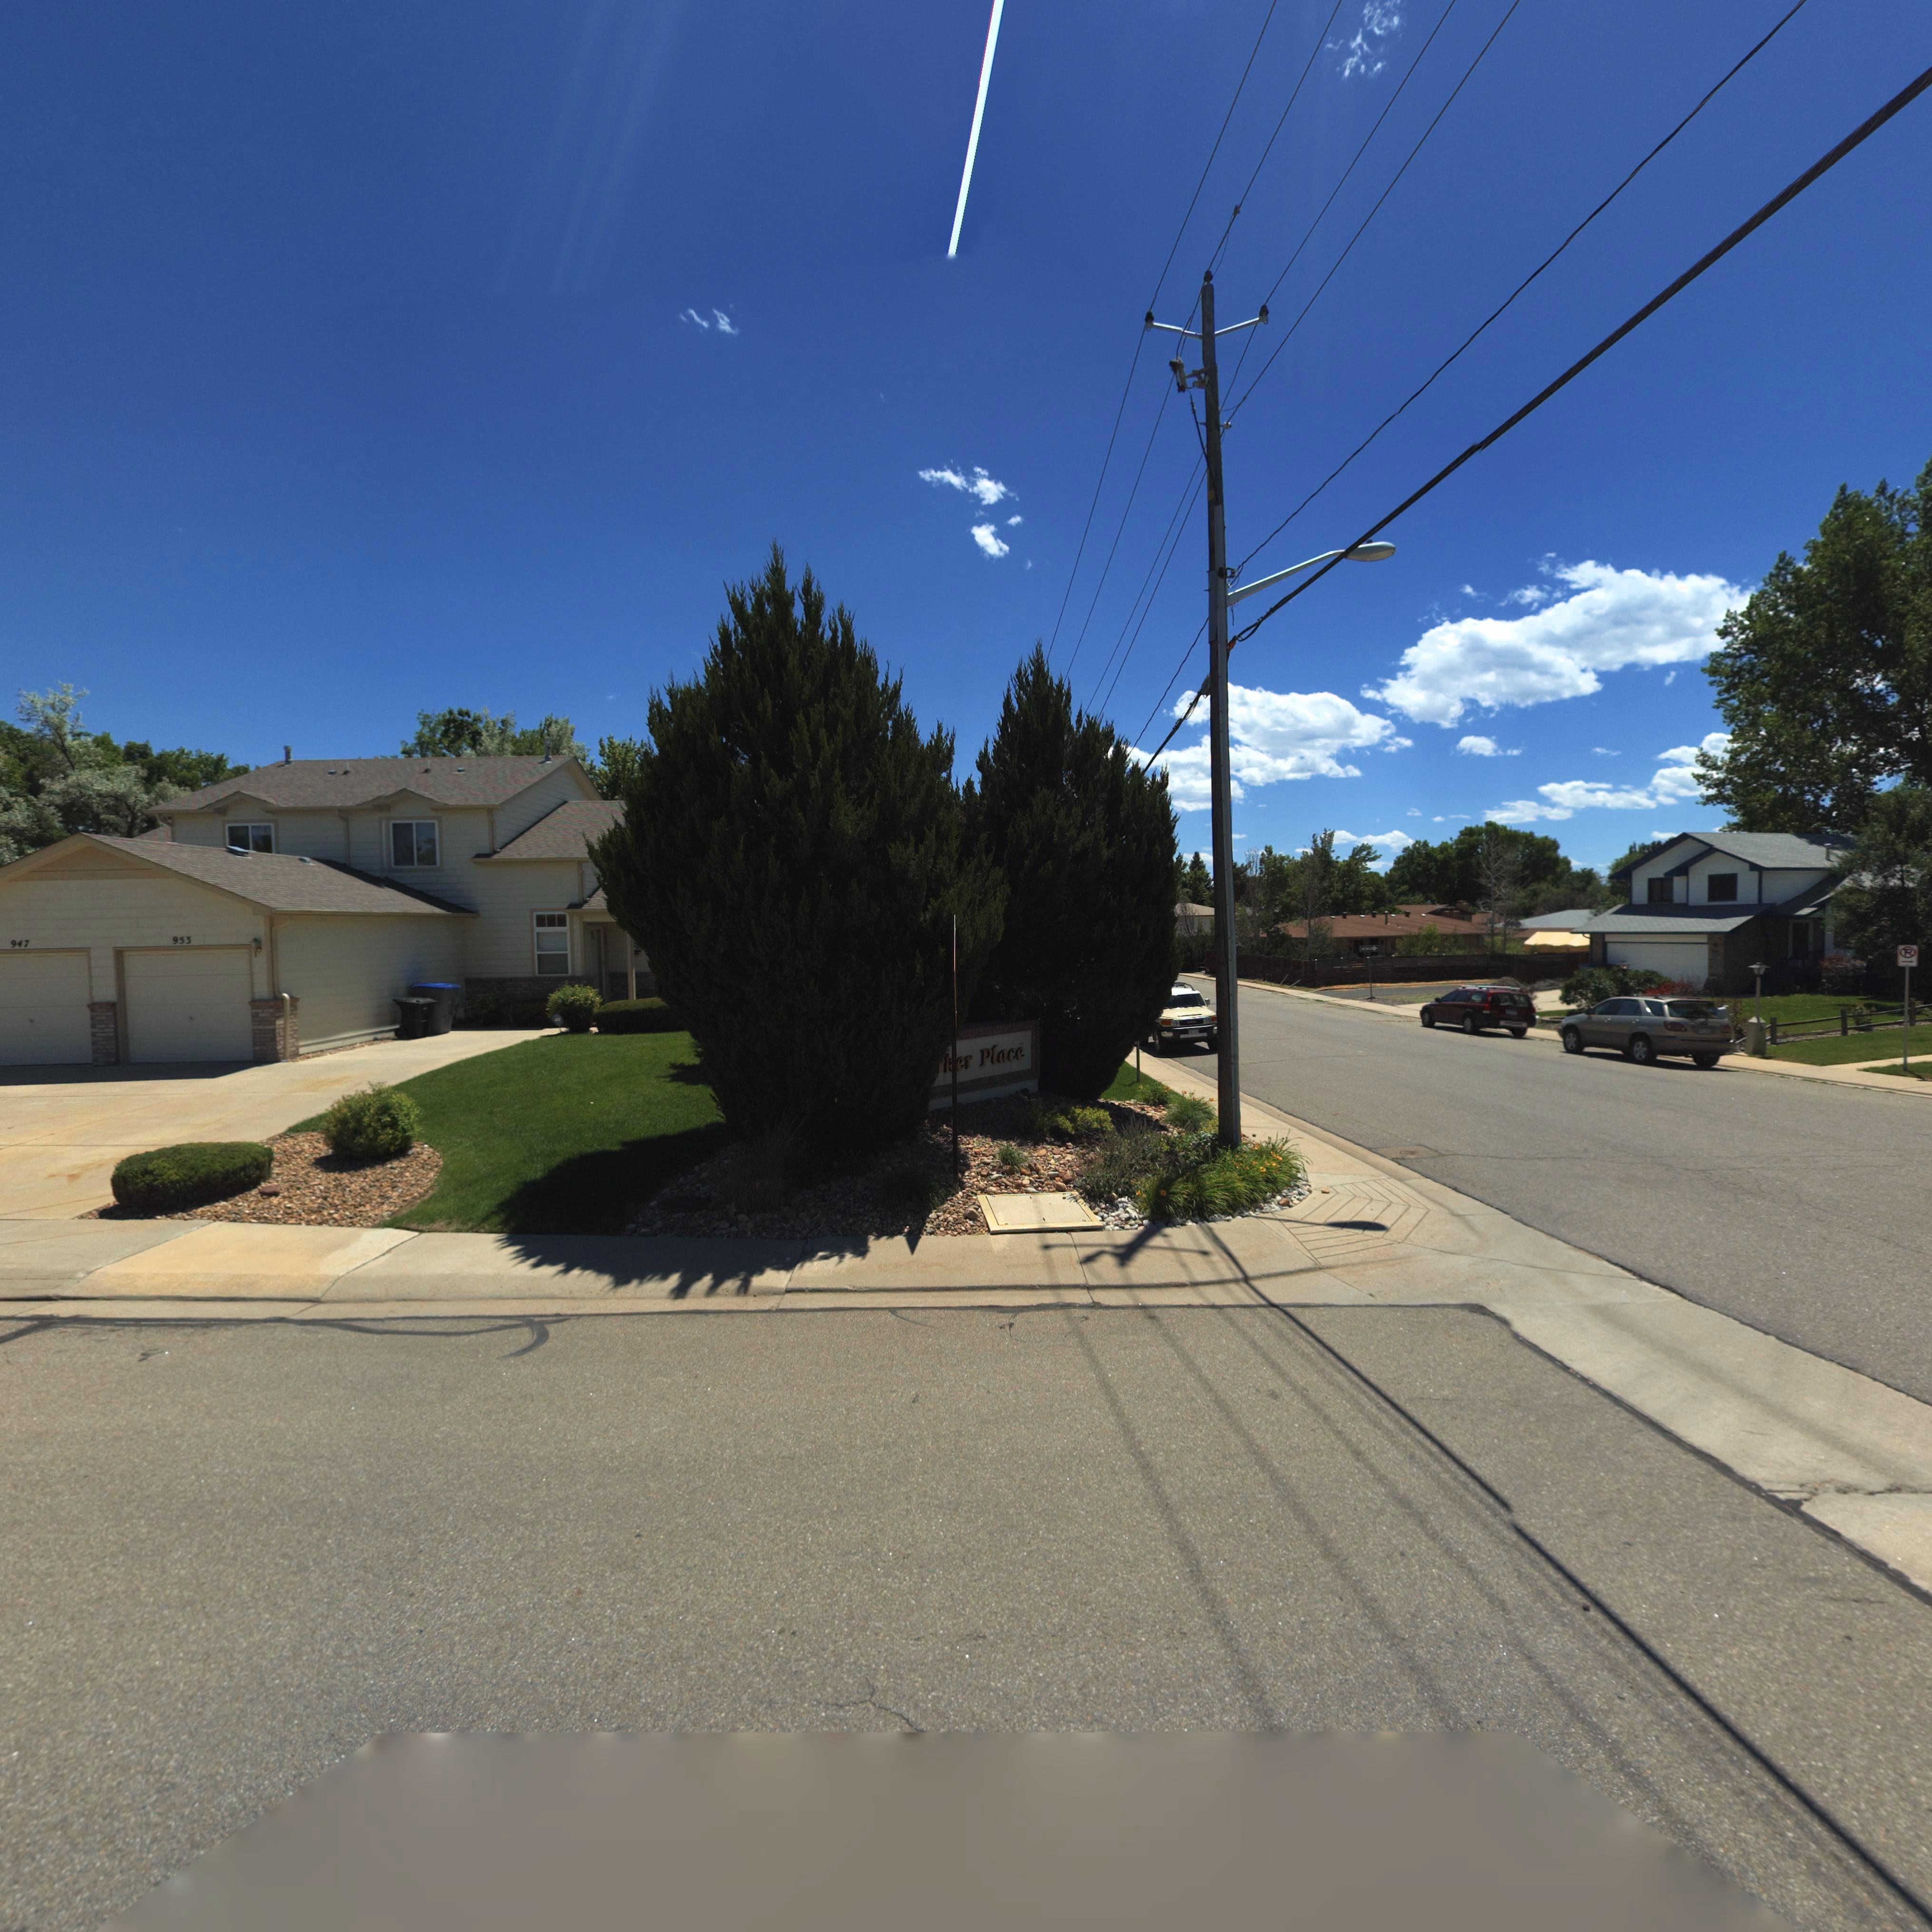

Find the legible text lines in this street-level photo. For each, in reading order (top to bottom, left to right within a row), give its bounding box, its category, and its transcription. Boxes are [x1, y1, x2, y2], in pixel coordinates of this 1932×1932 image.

[10, 939, 30, 948] StreetNumber: 947
[172, 936, 192, 945] StreetNumber: 953